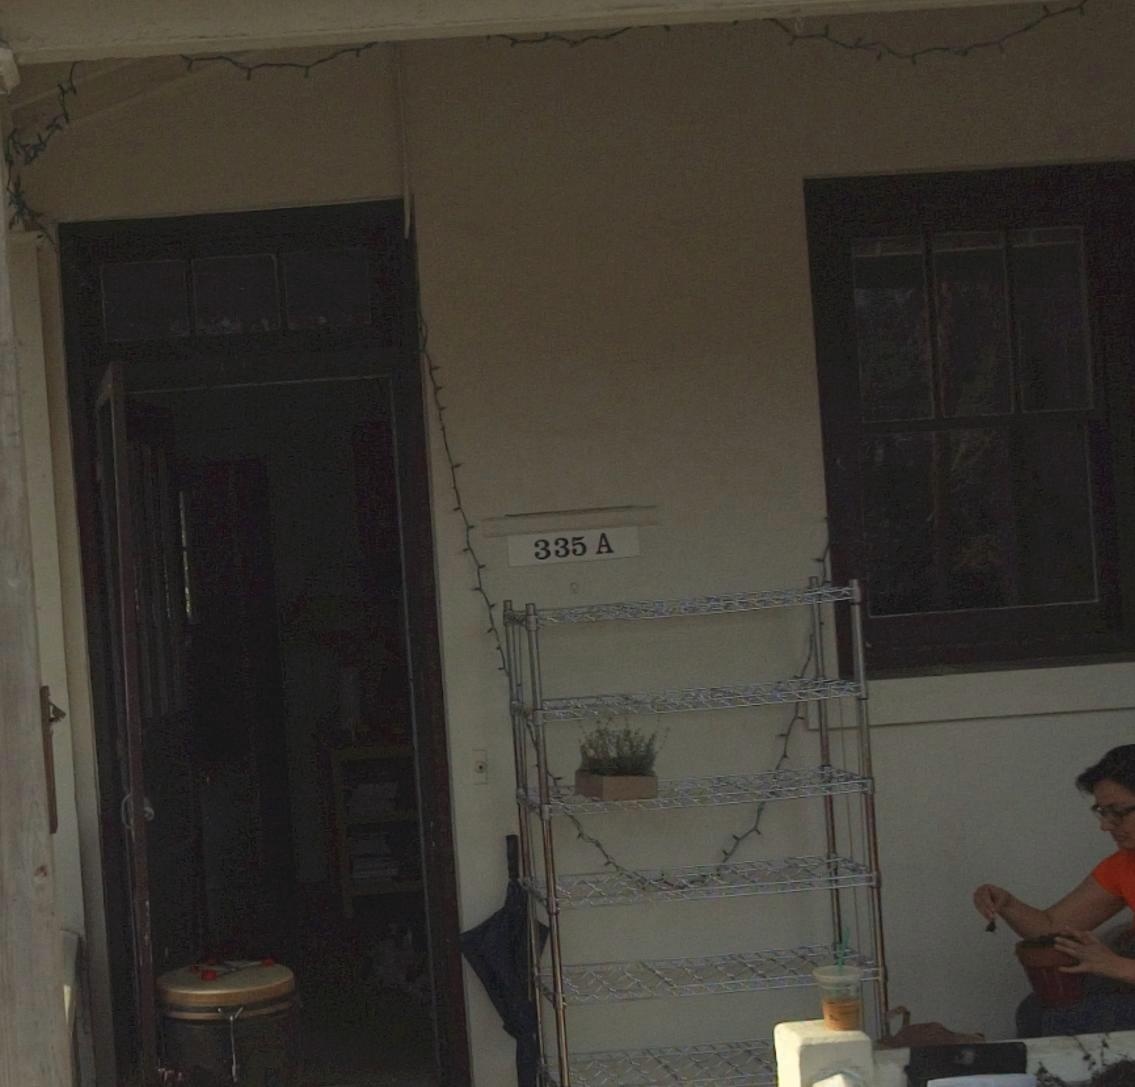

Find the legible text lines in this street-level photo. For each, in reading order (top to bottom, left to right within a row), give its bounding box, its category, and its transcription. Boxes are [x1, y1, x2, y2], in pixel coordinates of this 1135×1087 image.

[532, 530, 617, 561] StreetNumber: 335 A